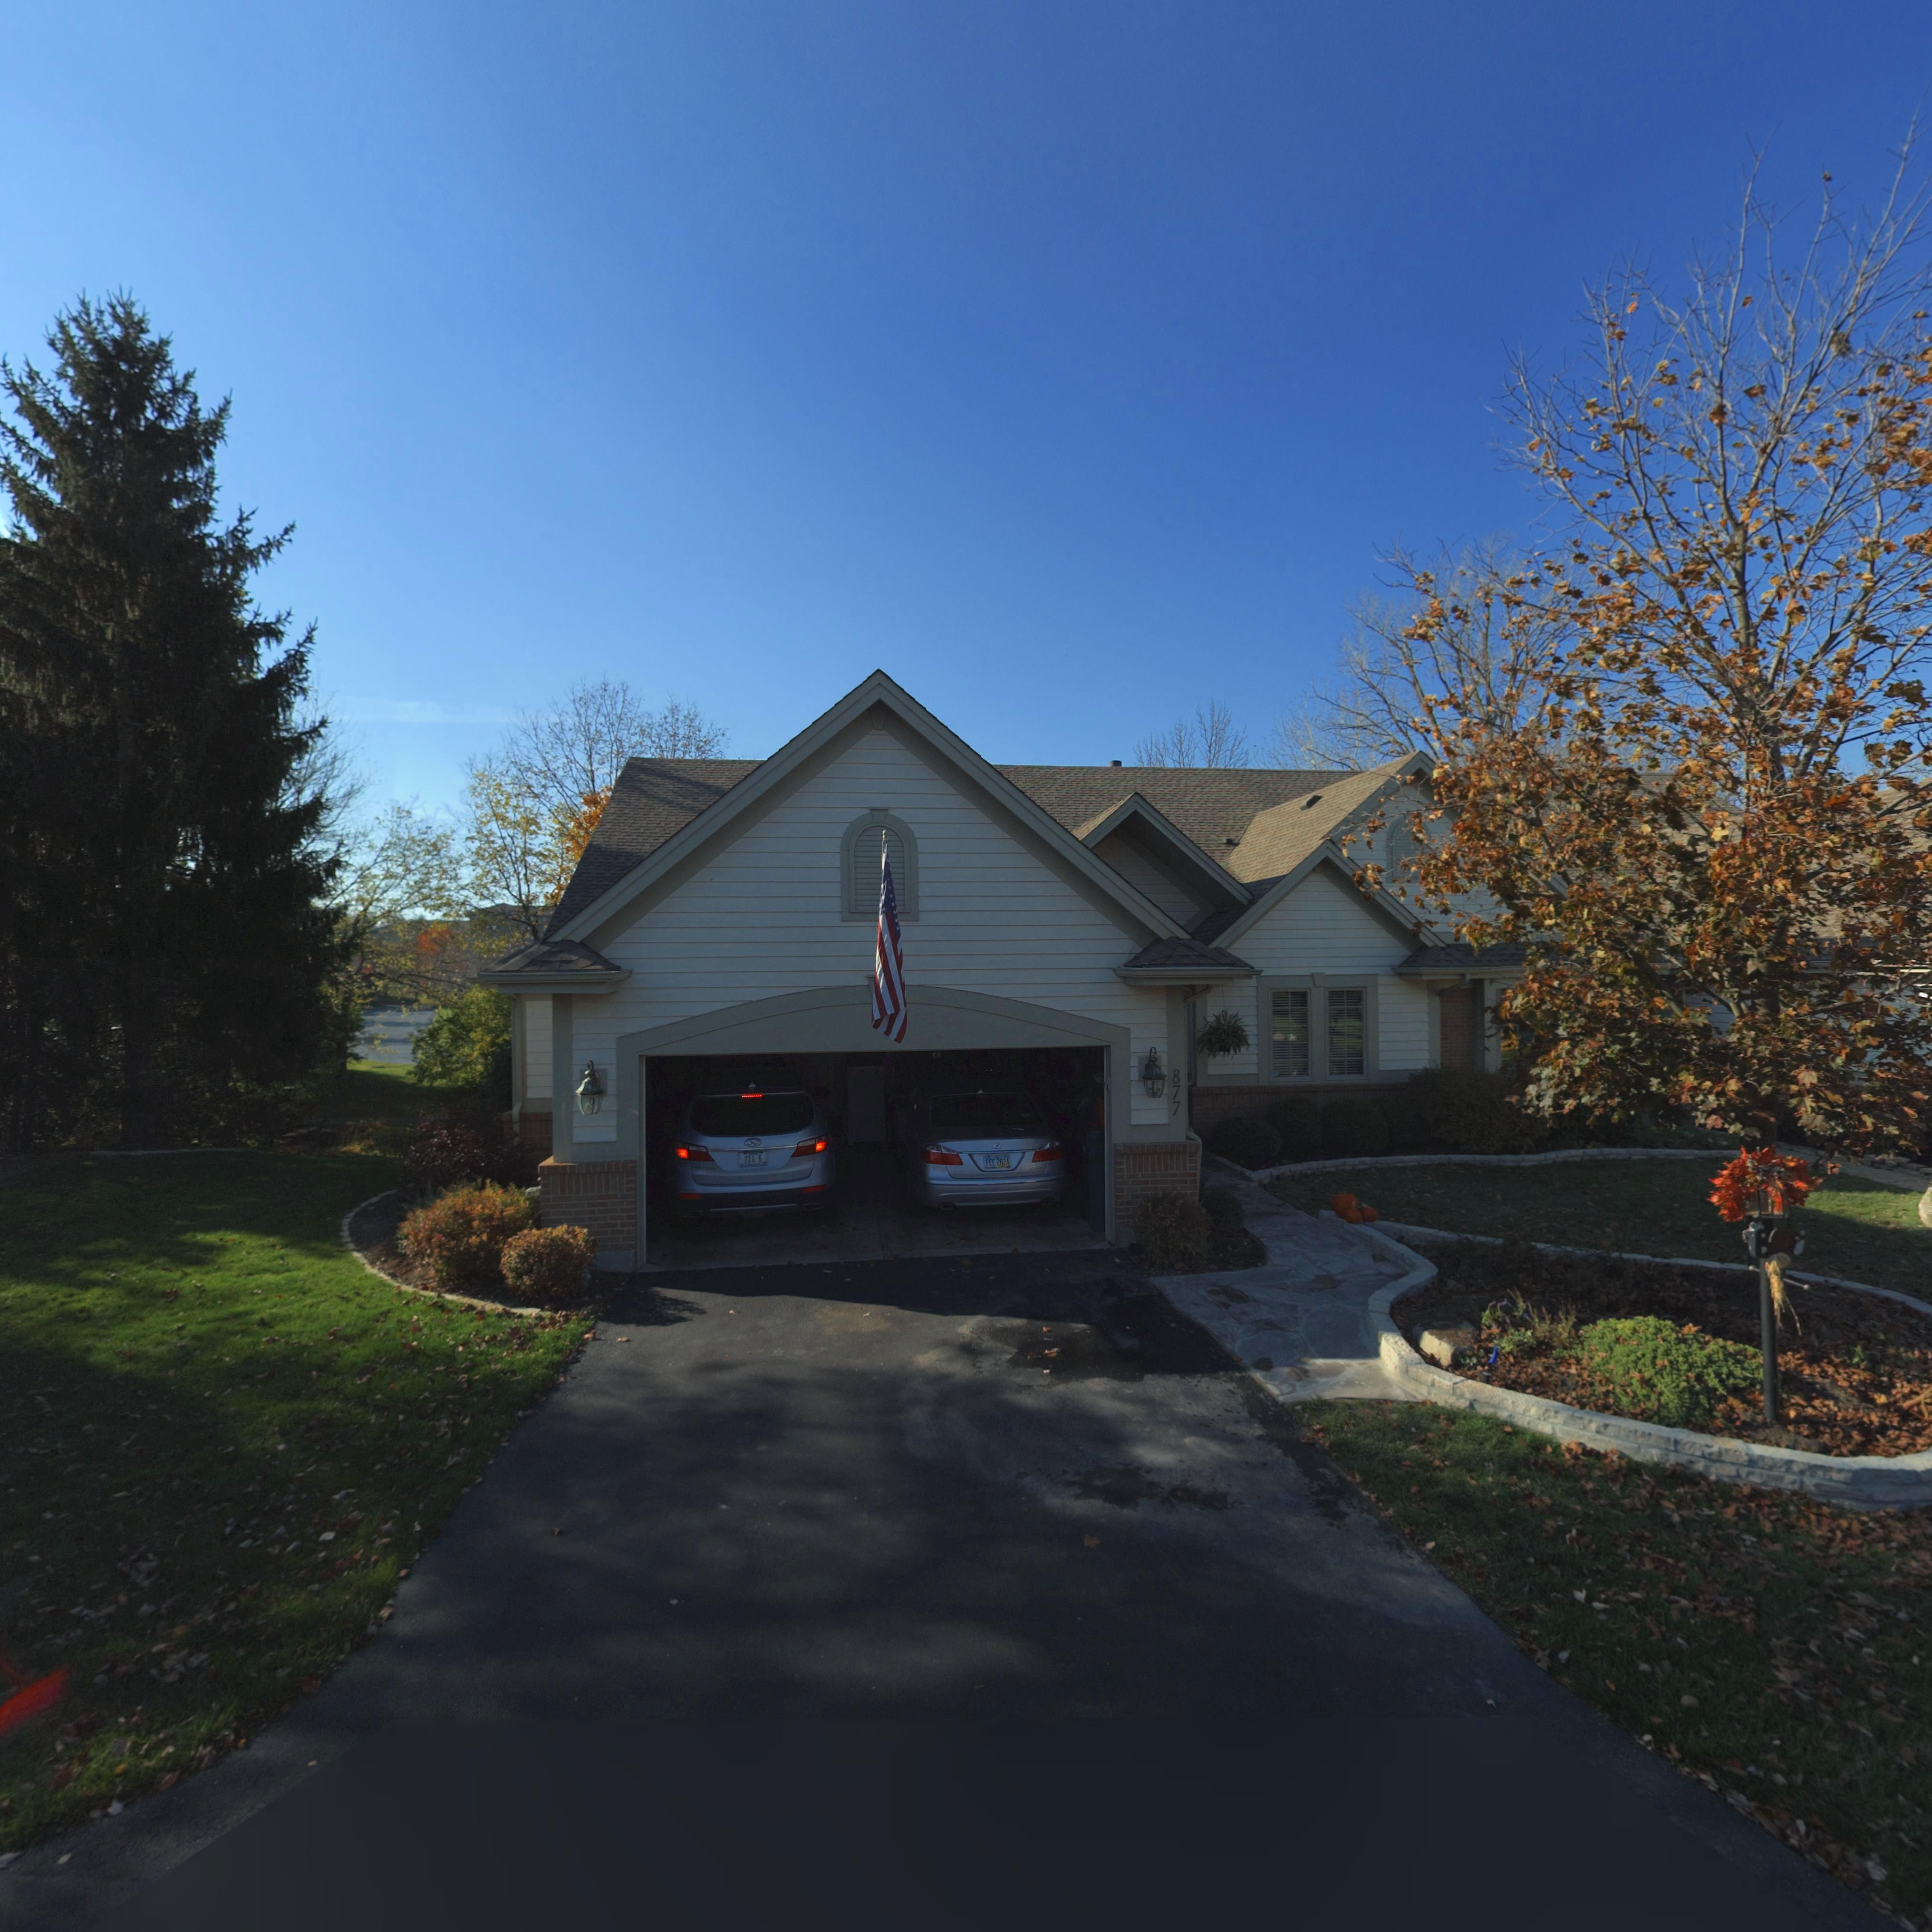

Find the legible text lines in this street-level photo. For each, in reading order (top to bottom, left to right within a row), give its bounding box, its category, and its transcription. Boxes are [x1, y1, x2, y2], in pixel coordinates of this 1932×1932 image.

[1170, 1068, 1182, 1117] StreetNumber: 877